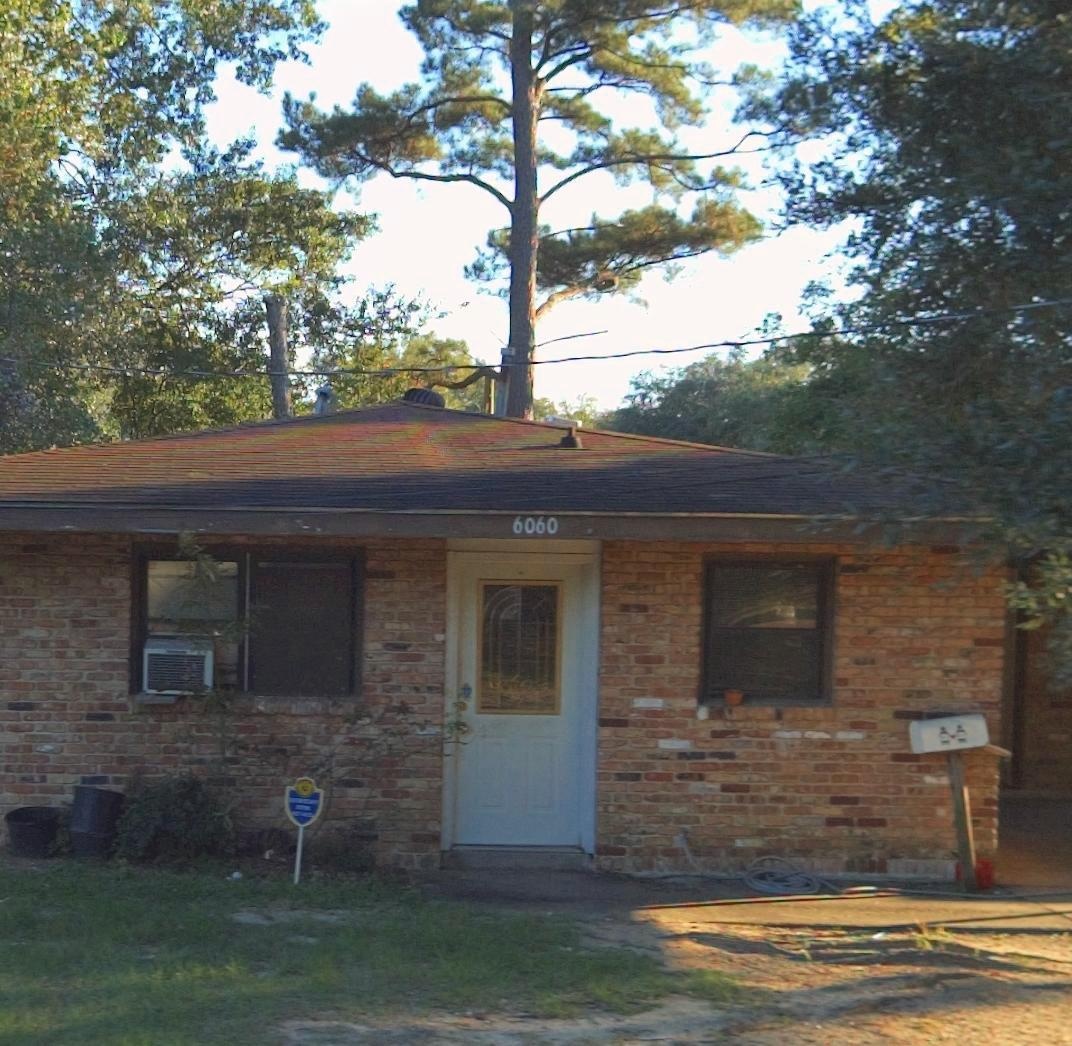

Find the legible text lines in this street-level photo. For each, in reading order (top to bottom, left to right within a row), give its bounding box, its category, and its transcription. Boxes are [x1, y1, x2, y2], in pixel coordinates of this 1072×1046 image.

[512, 515, 559, 535] StreetNumber: 6060